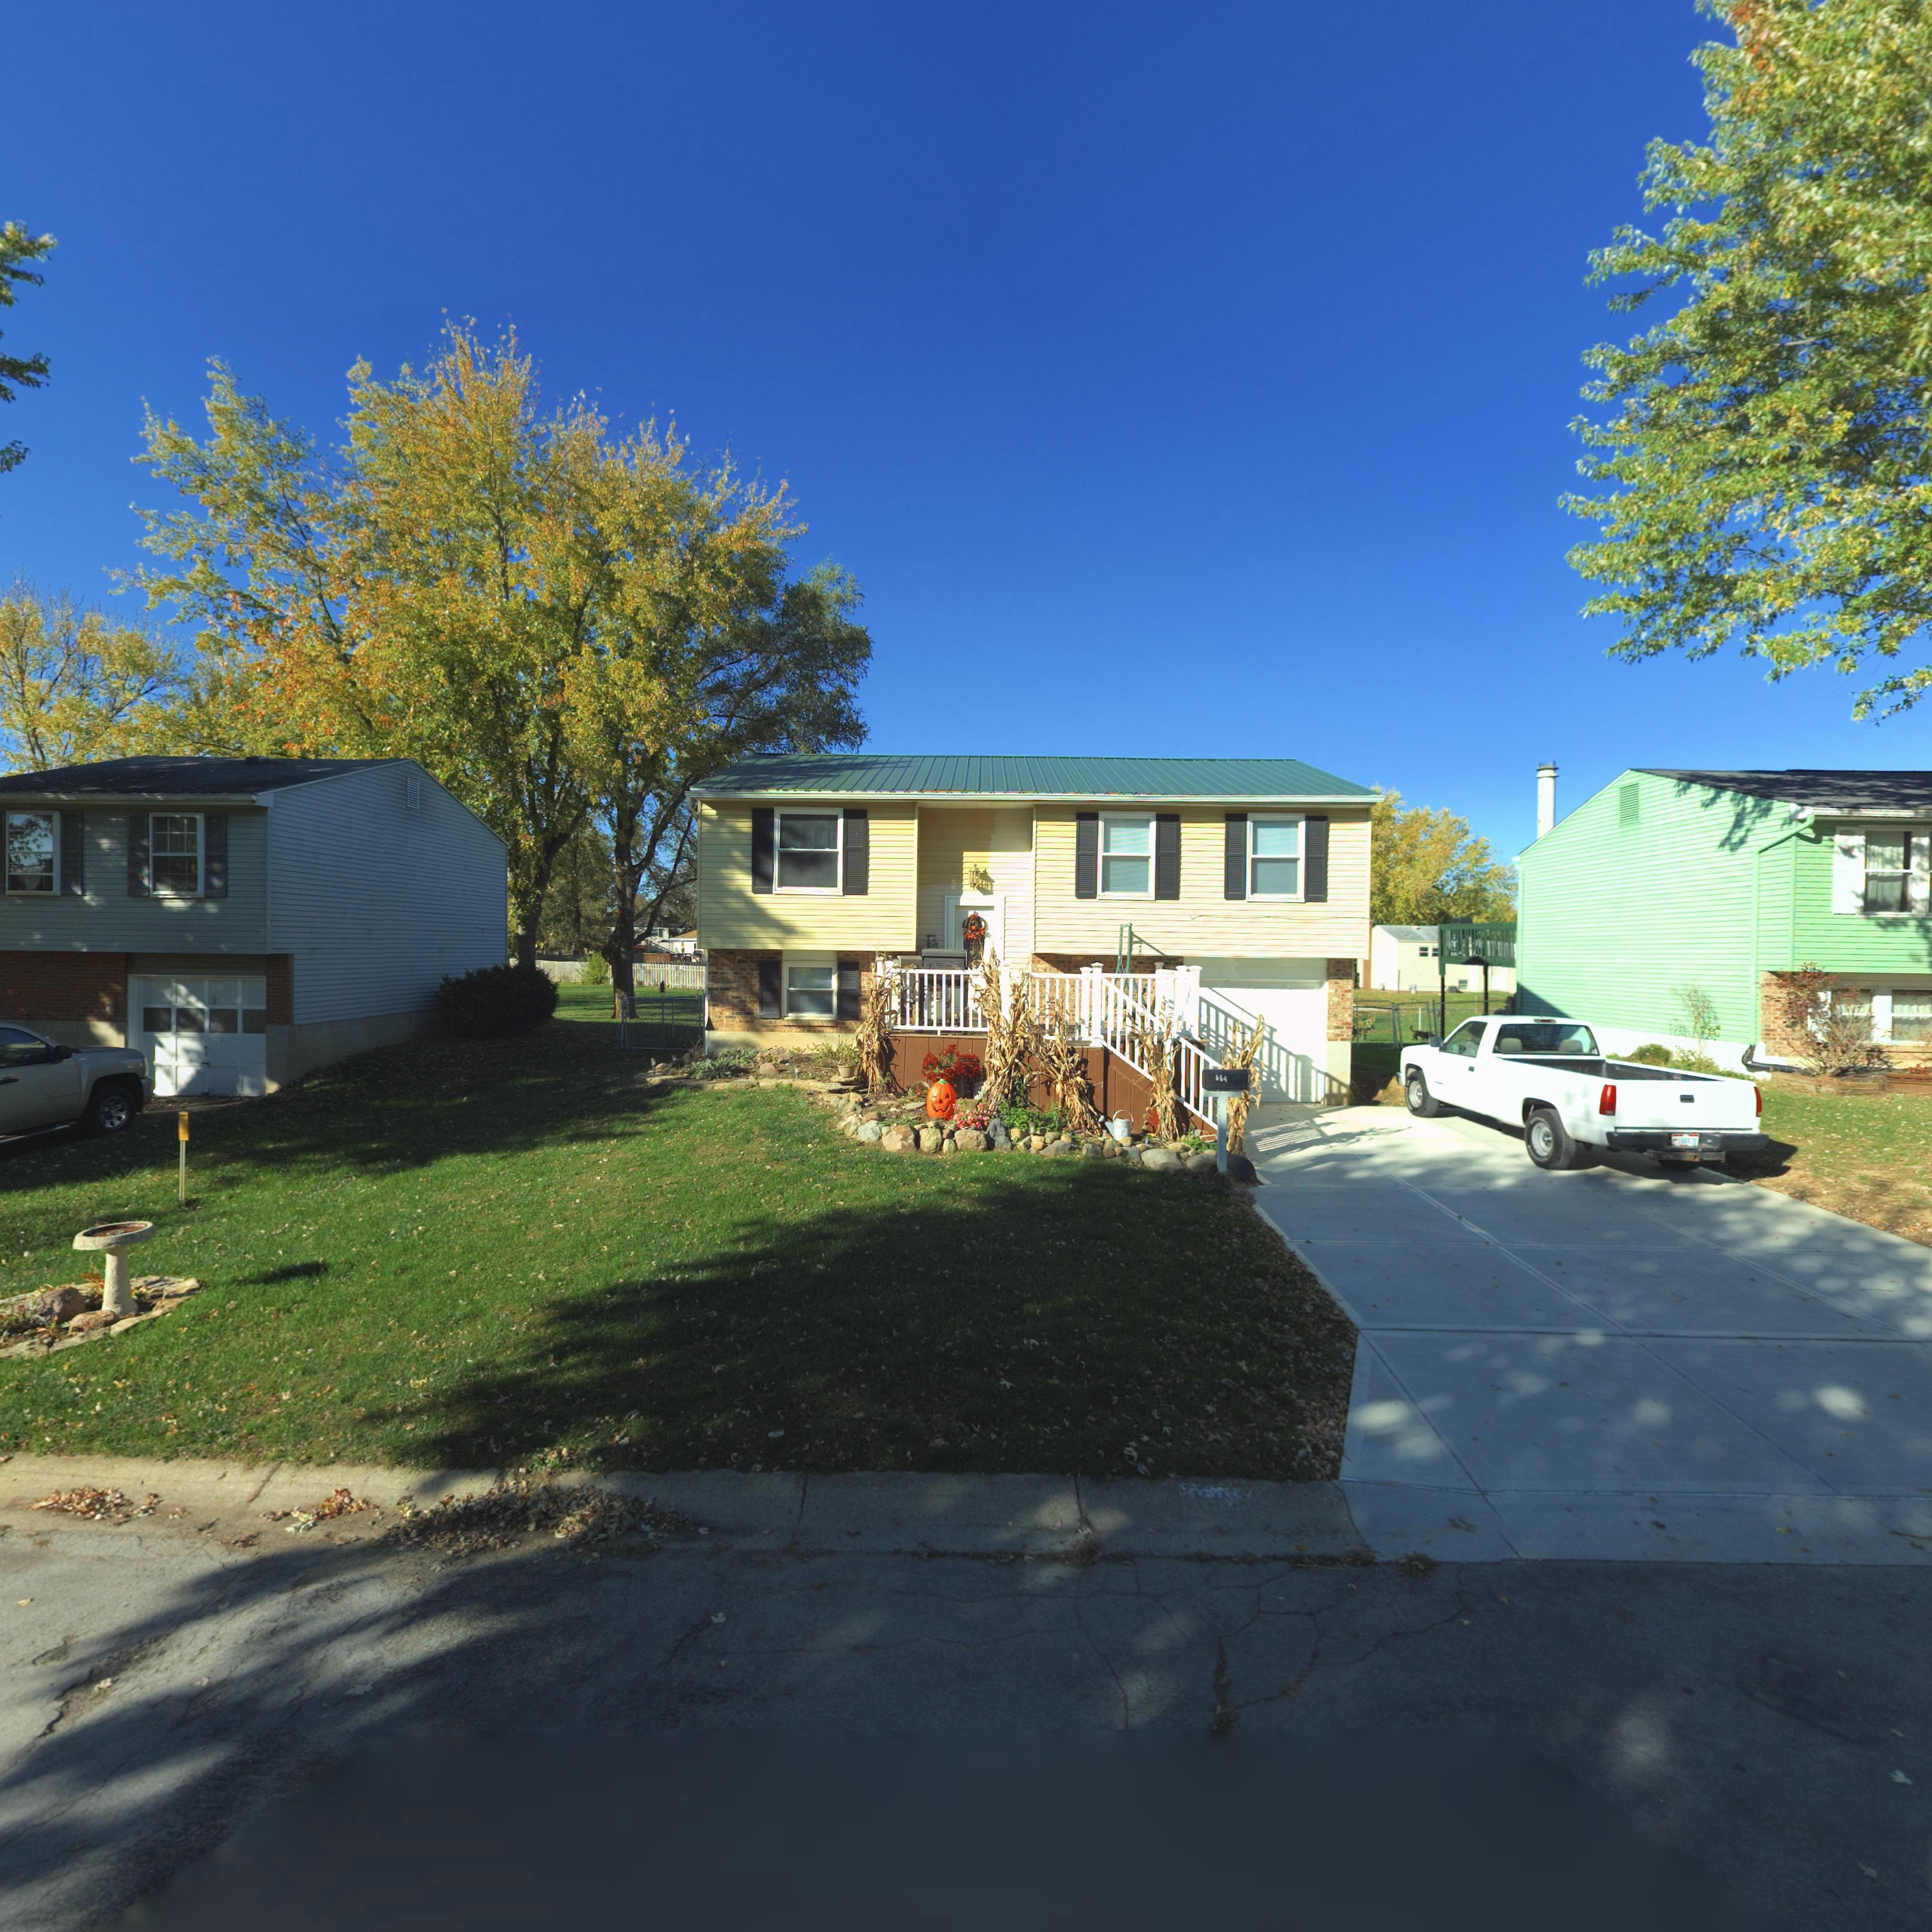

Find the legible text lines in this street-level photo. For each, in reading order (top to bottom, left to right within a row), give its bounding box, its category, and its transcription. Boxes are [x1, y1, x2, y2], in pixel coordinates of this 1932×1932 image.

[189, 964, 206, 971] StreetNumber: *62
[1215, 1073, 1228, 1083] StreetNumber: 664